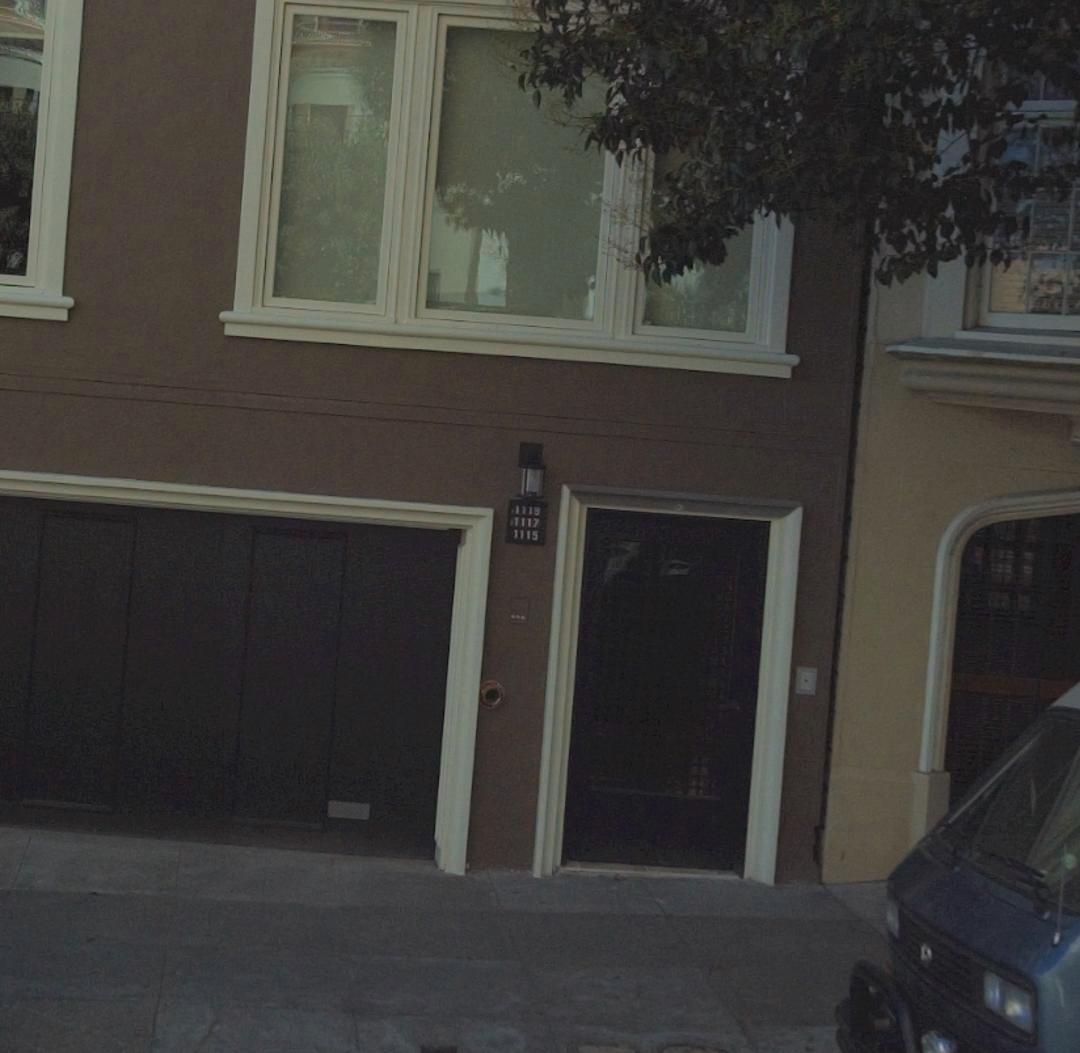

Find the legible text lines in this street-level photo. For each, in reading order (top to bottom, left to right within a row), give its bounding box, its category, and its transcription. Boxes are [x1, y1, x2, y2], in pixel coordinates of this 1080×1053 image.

[514, 503, 542, 517] StreetNumber: 1119
[513, 516, 540, 529] StreetNumber: 1117
[513, 529, 540, 542] StreetNumber: 1115